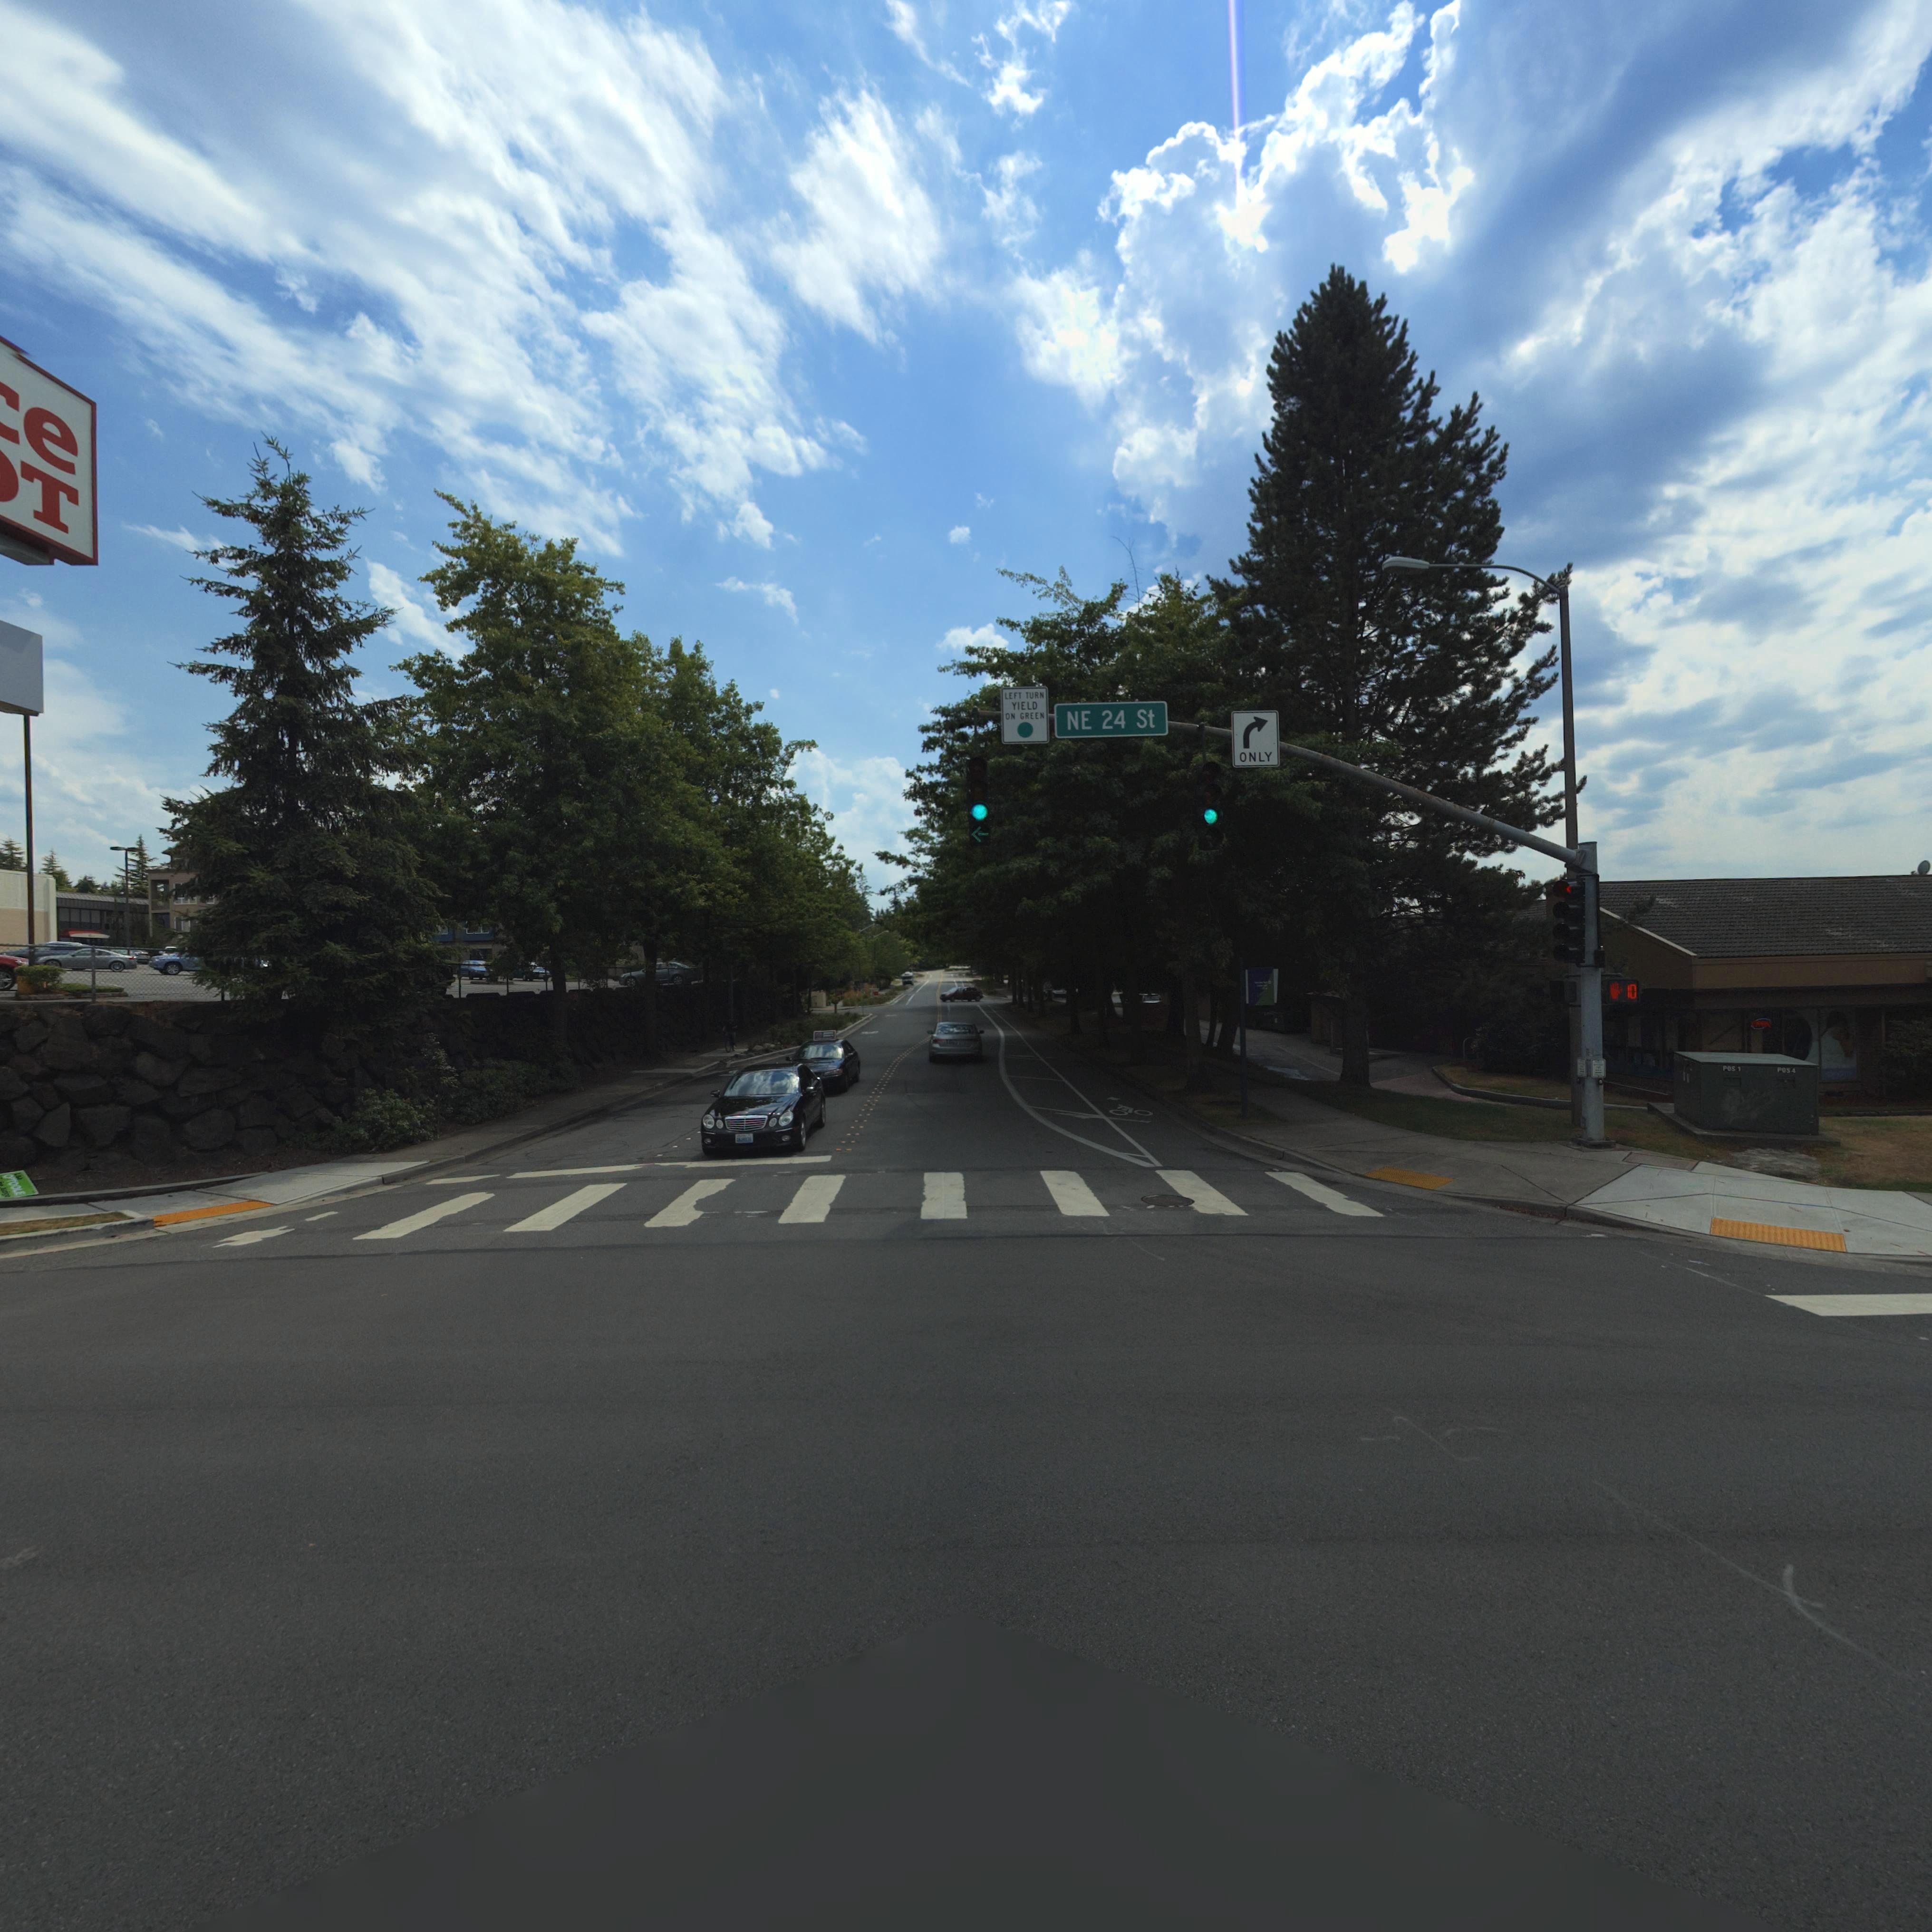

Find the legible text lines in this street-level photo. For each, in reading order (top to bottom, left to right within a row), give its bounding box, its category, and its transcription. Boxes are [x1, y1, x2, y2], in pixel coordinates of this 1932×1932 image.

[1065, 706, 1158, 731] StreetName: NE 24 St